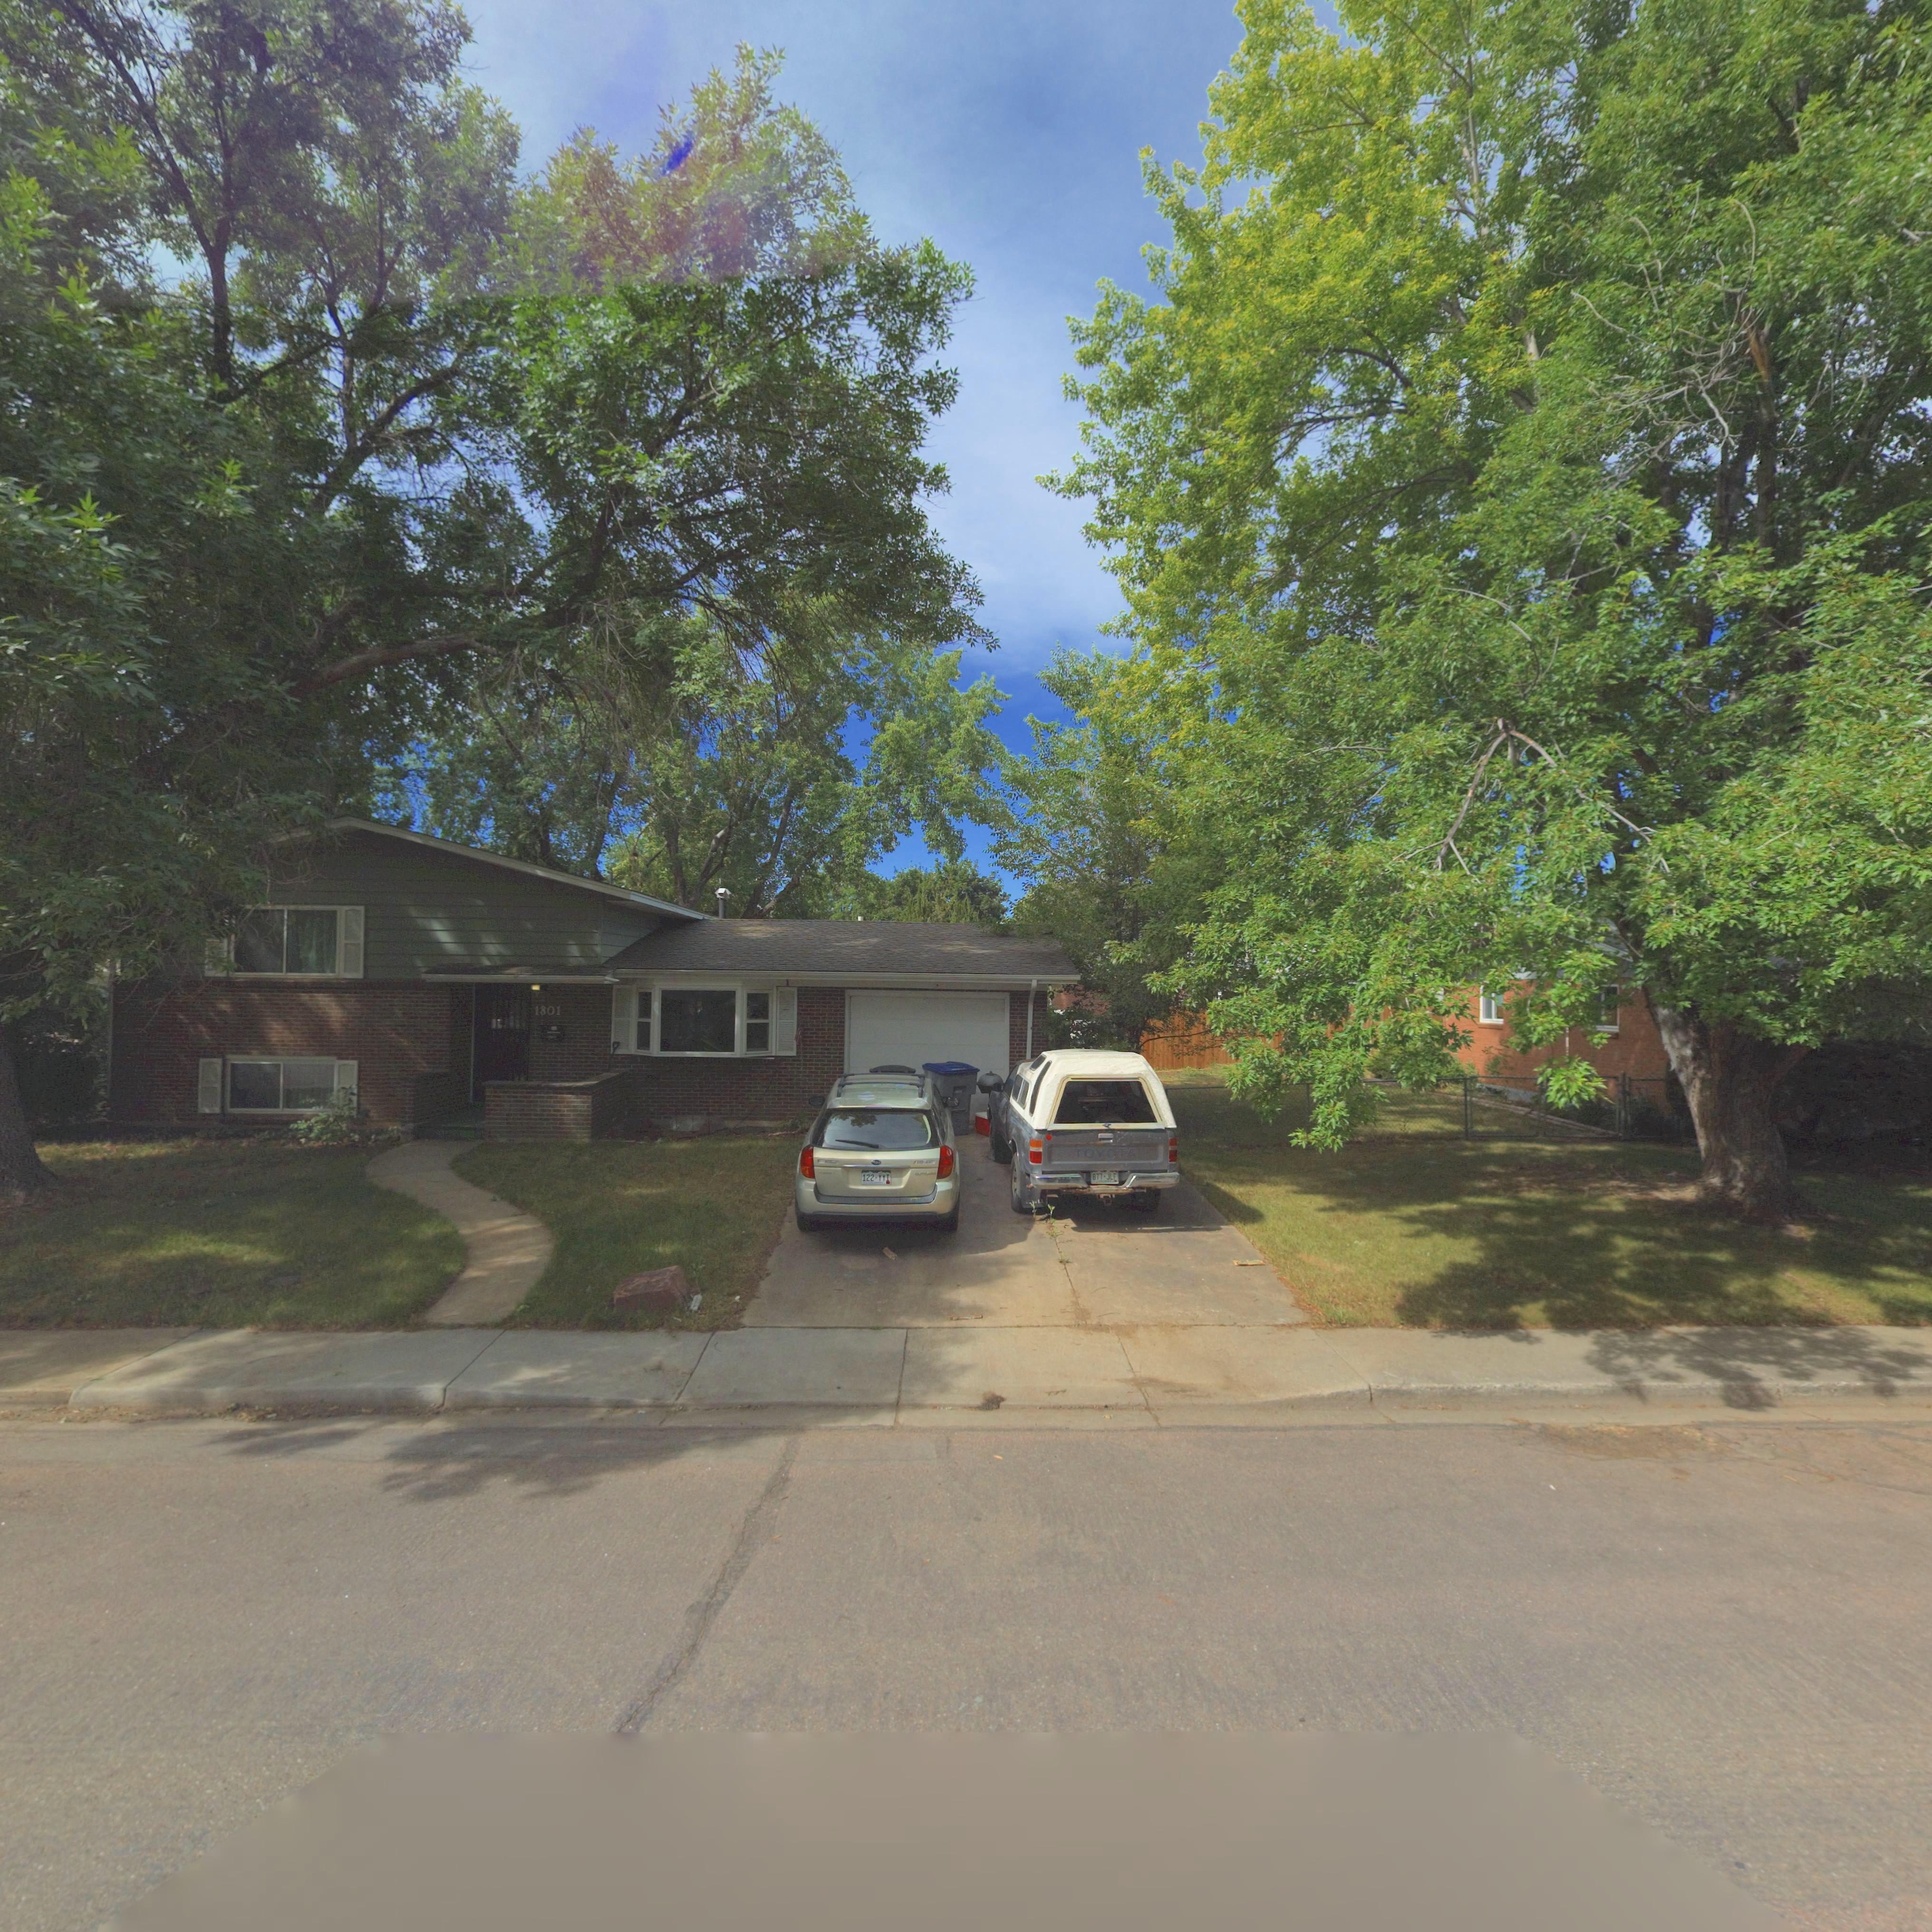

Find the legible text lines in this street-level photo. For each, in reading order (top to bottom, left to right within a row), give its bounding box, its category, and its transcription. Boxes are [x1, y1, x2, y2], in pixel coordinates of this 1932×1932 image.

[534, 1005, 560, 1015] StreetNumber: 1801